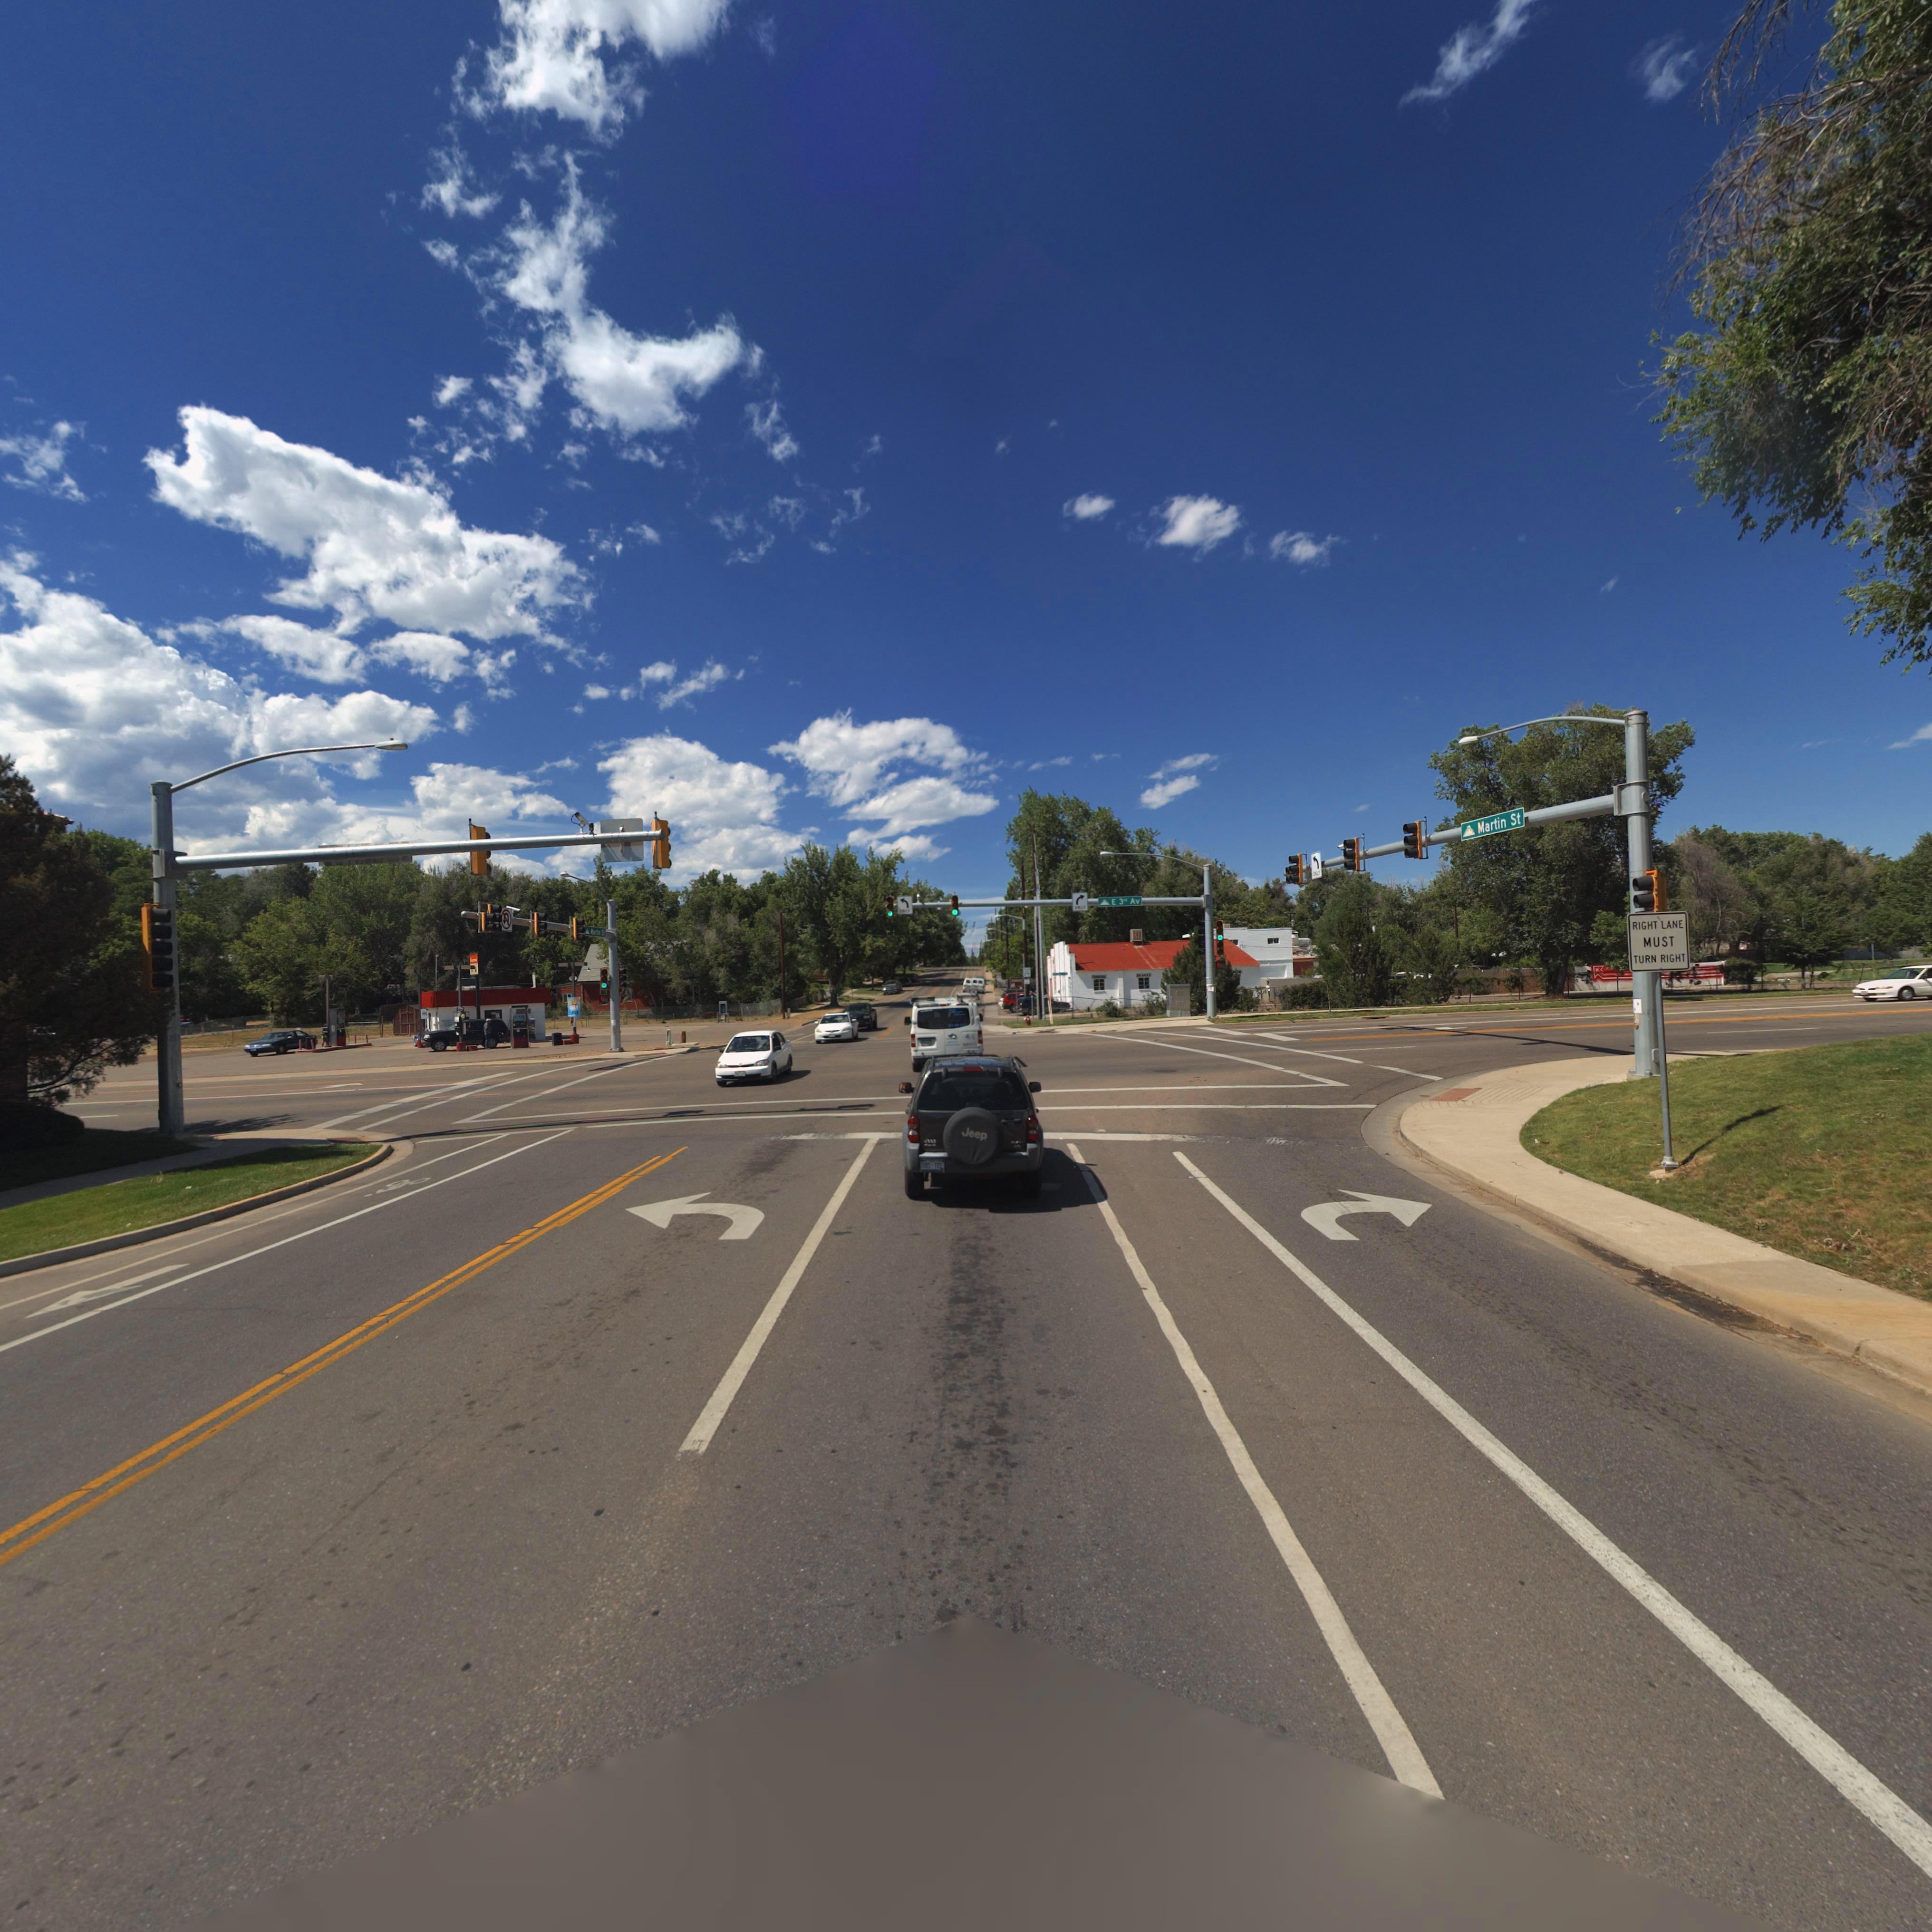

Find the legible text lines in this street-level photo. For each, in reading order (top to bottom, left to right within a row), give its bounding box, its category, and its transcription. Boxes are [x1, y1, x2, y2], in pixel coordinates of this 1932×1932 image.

[1477, 812, 1521, 834] StreetName: Martin St
[1111, 897, 1140, 905] StreetName: E 3rd Av
[590, 927, 606, 936] StreetName: Martin St